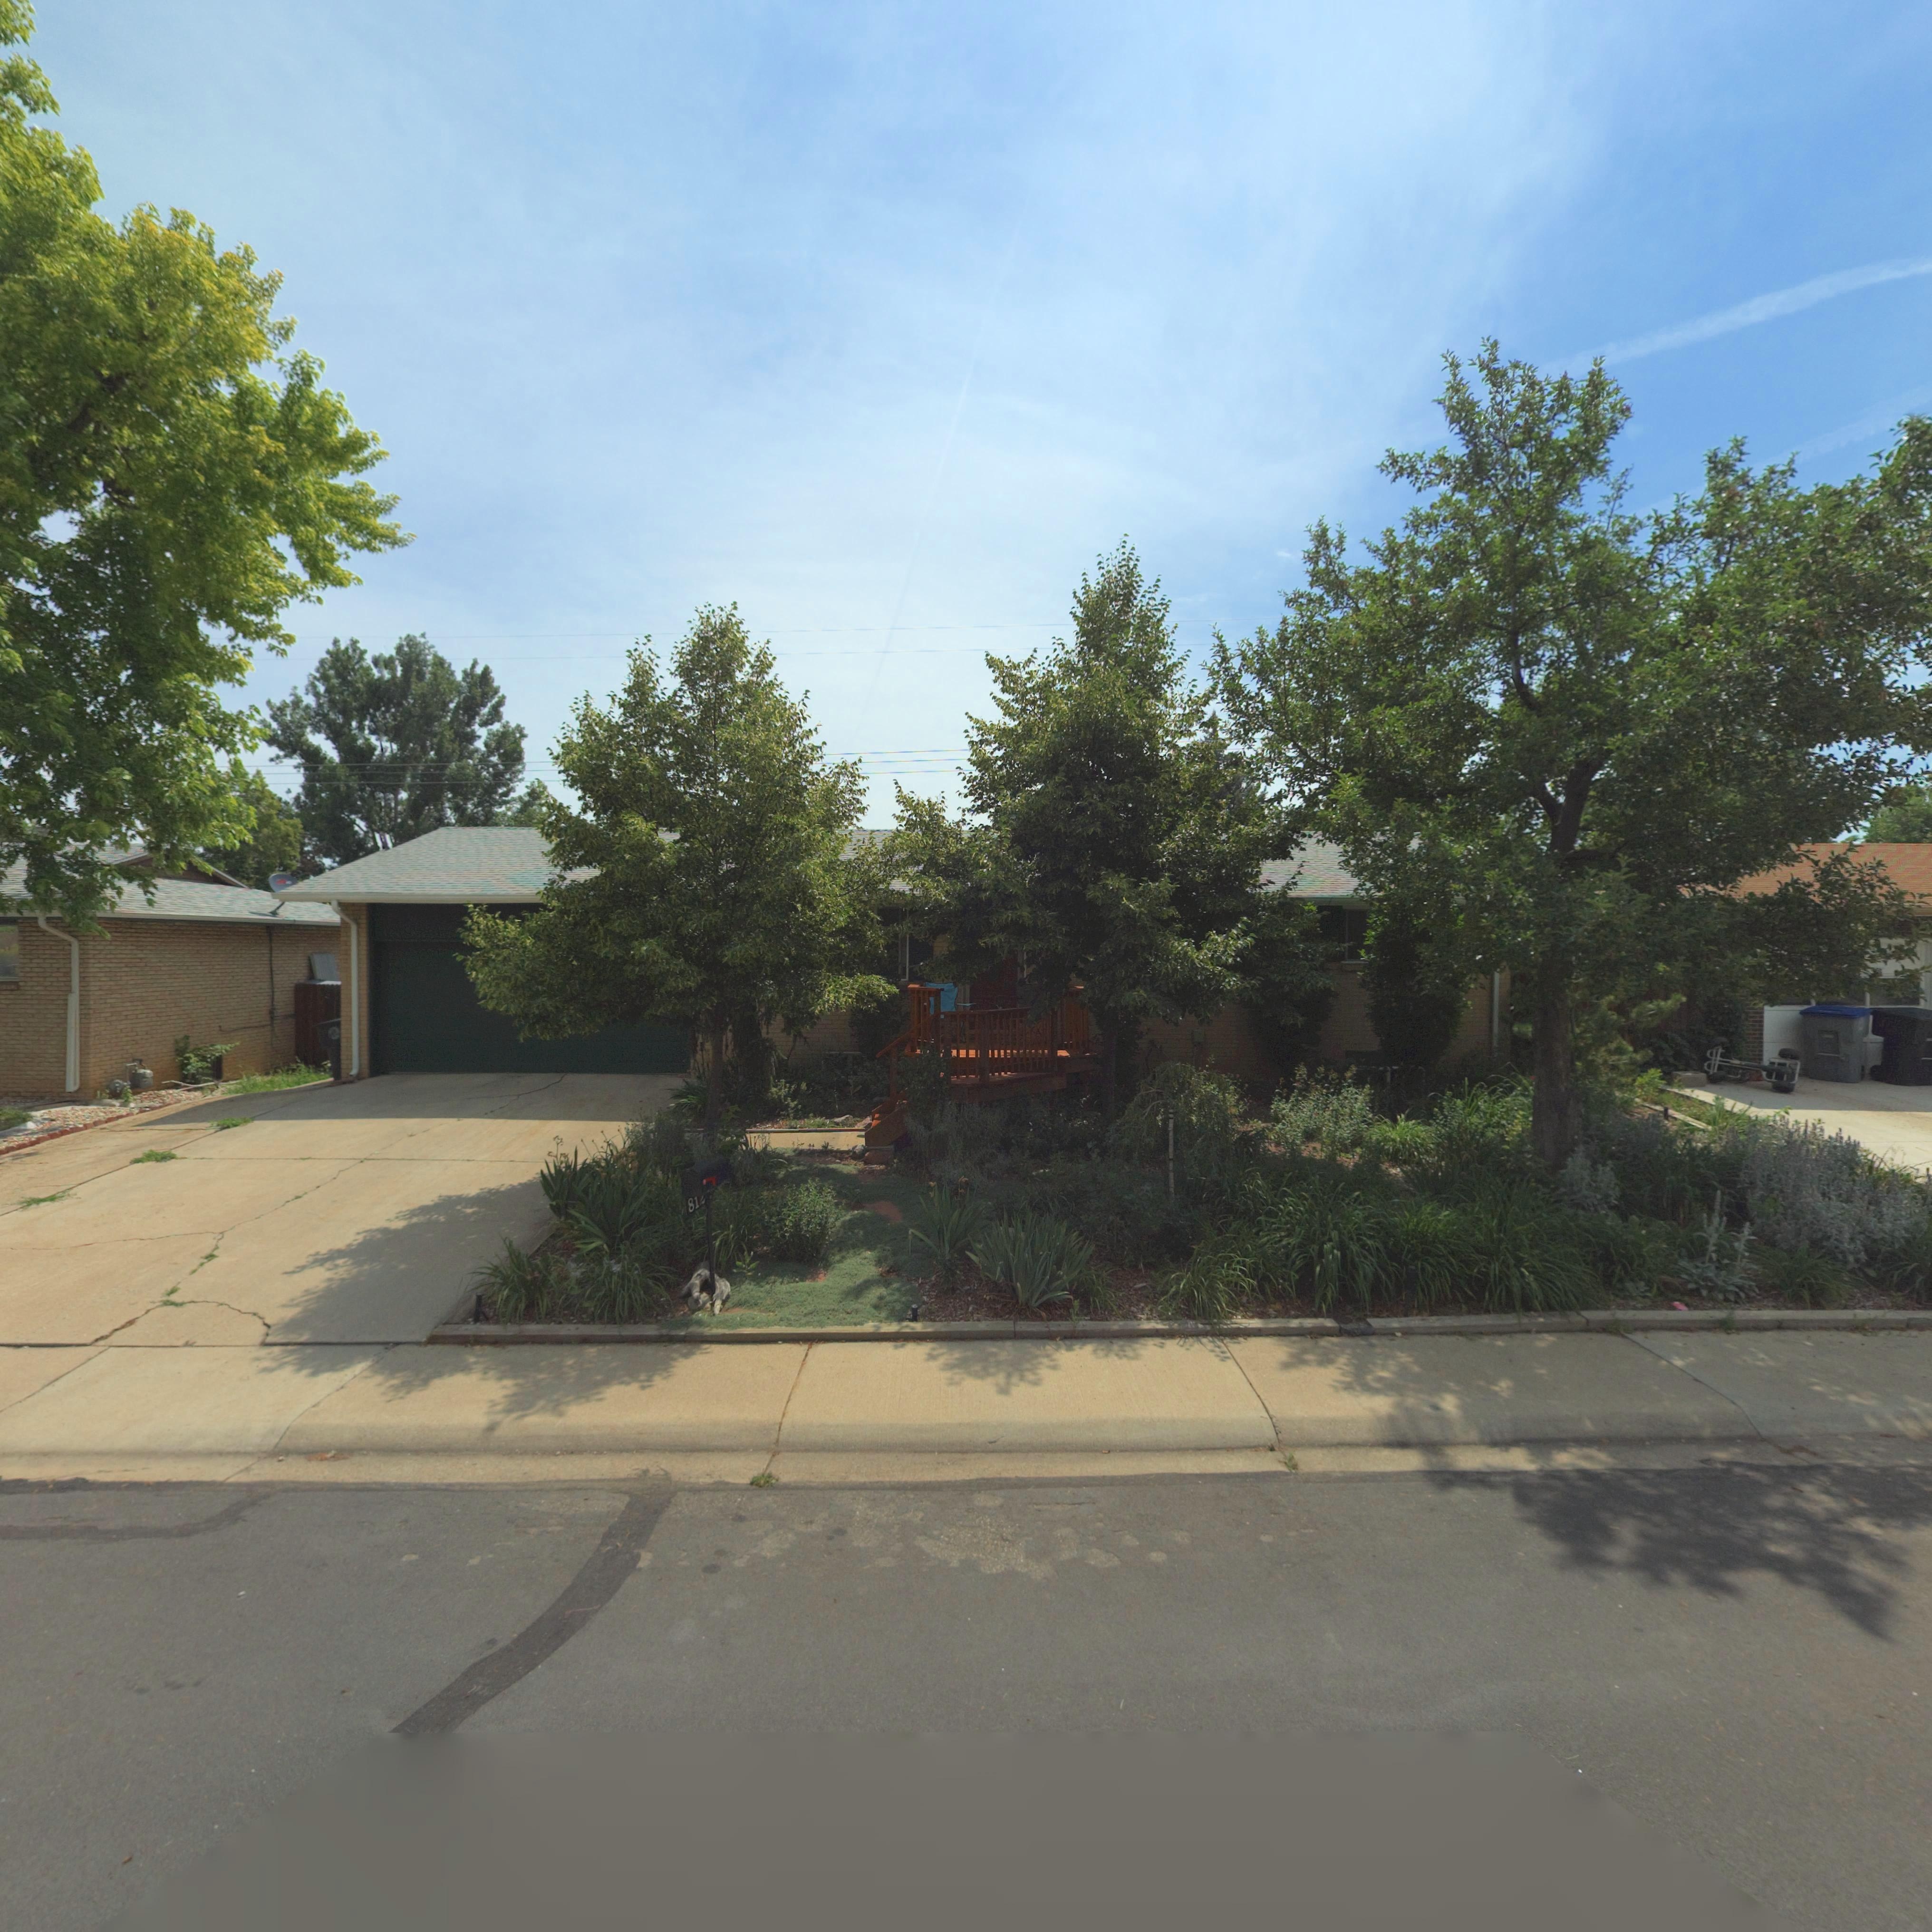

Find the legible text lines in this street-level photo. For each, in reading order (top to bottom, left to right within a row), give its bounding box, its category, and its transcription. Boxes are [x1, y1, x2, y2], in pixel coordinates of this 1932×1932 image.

[687, 1191, 705, 1213] StreetNumber: 812